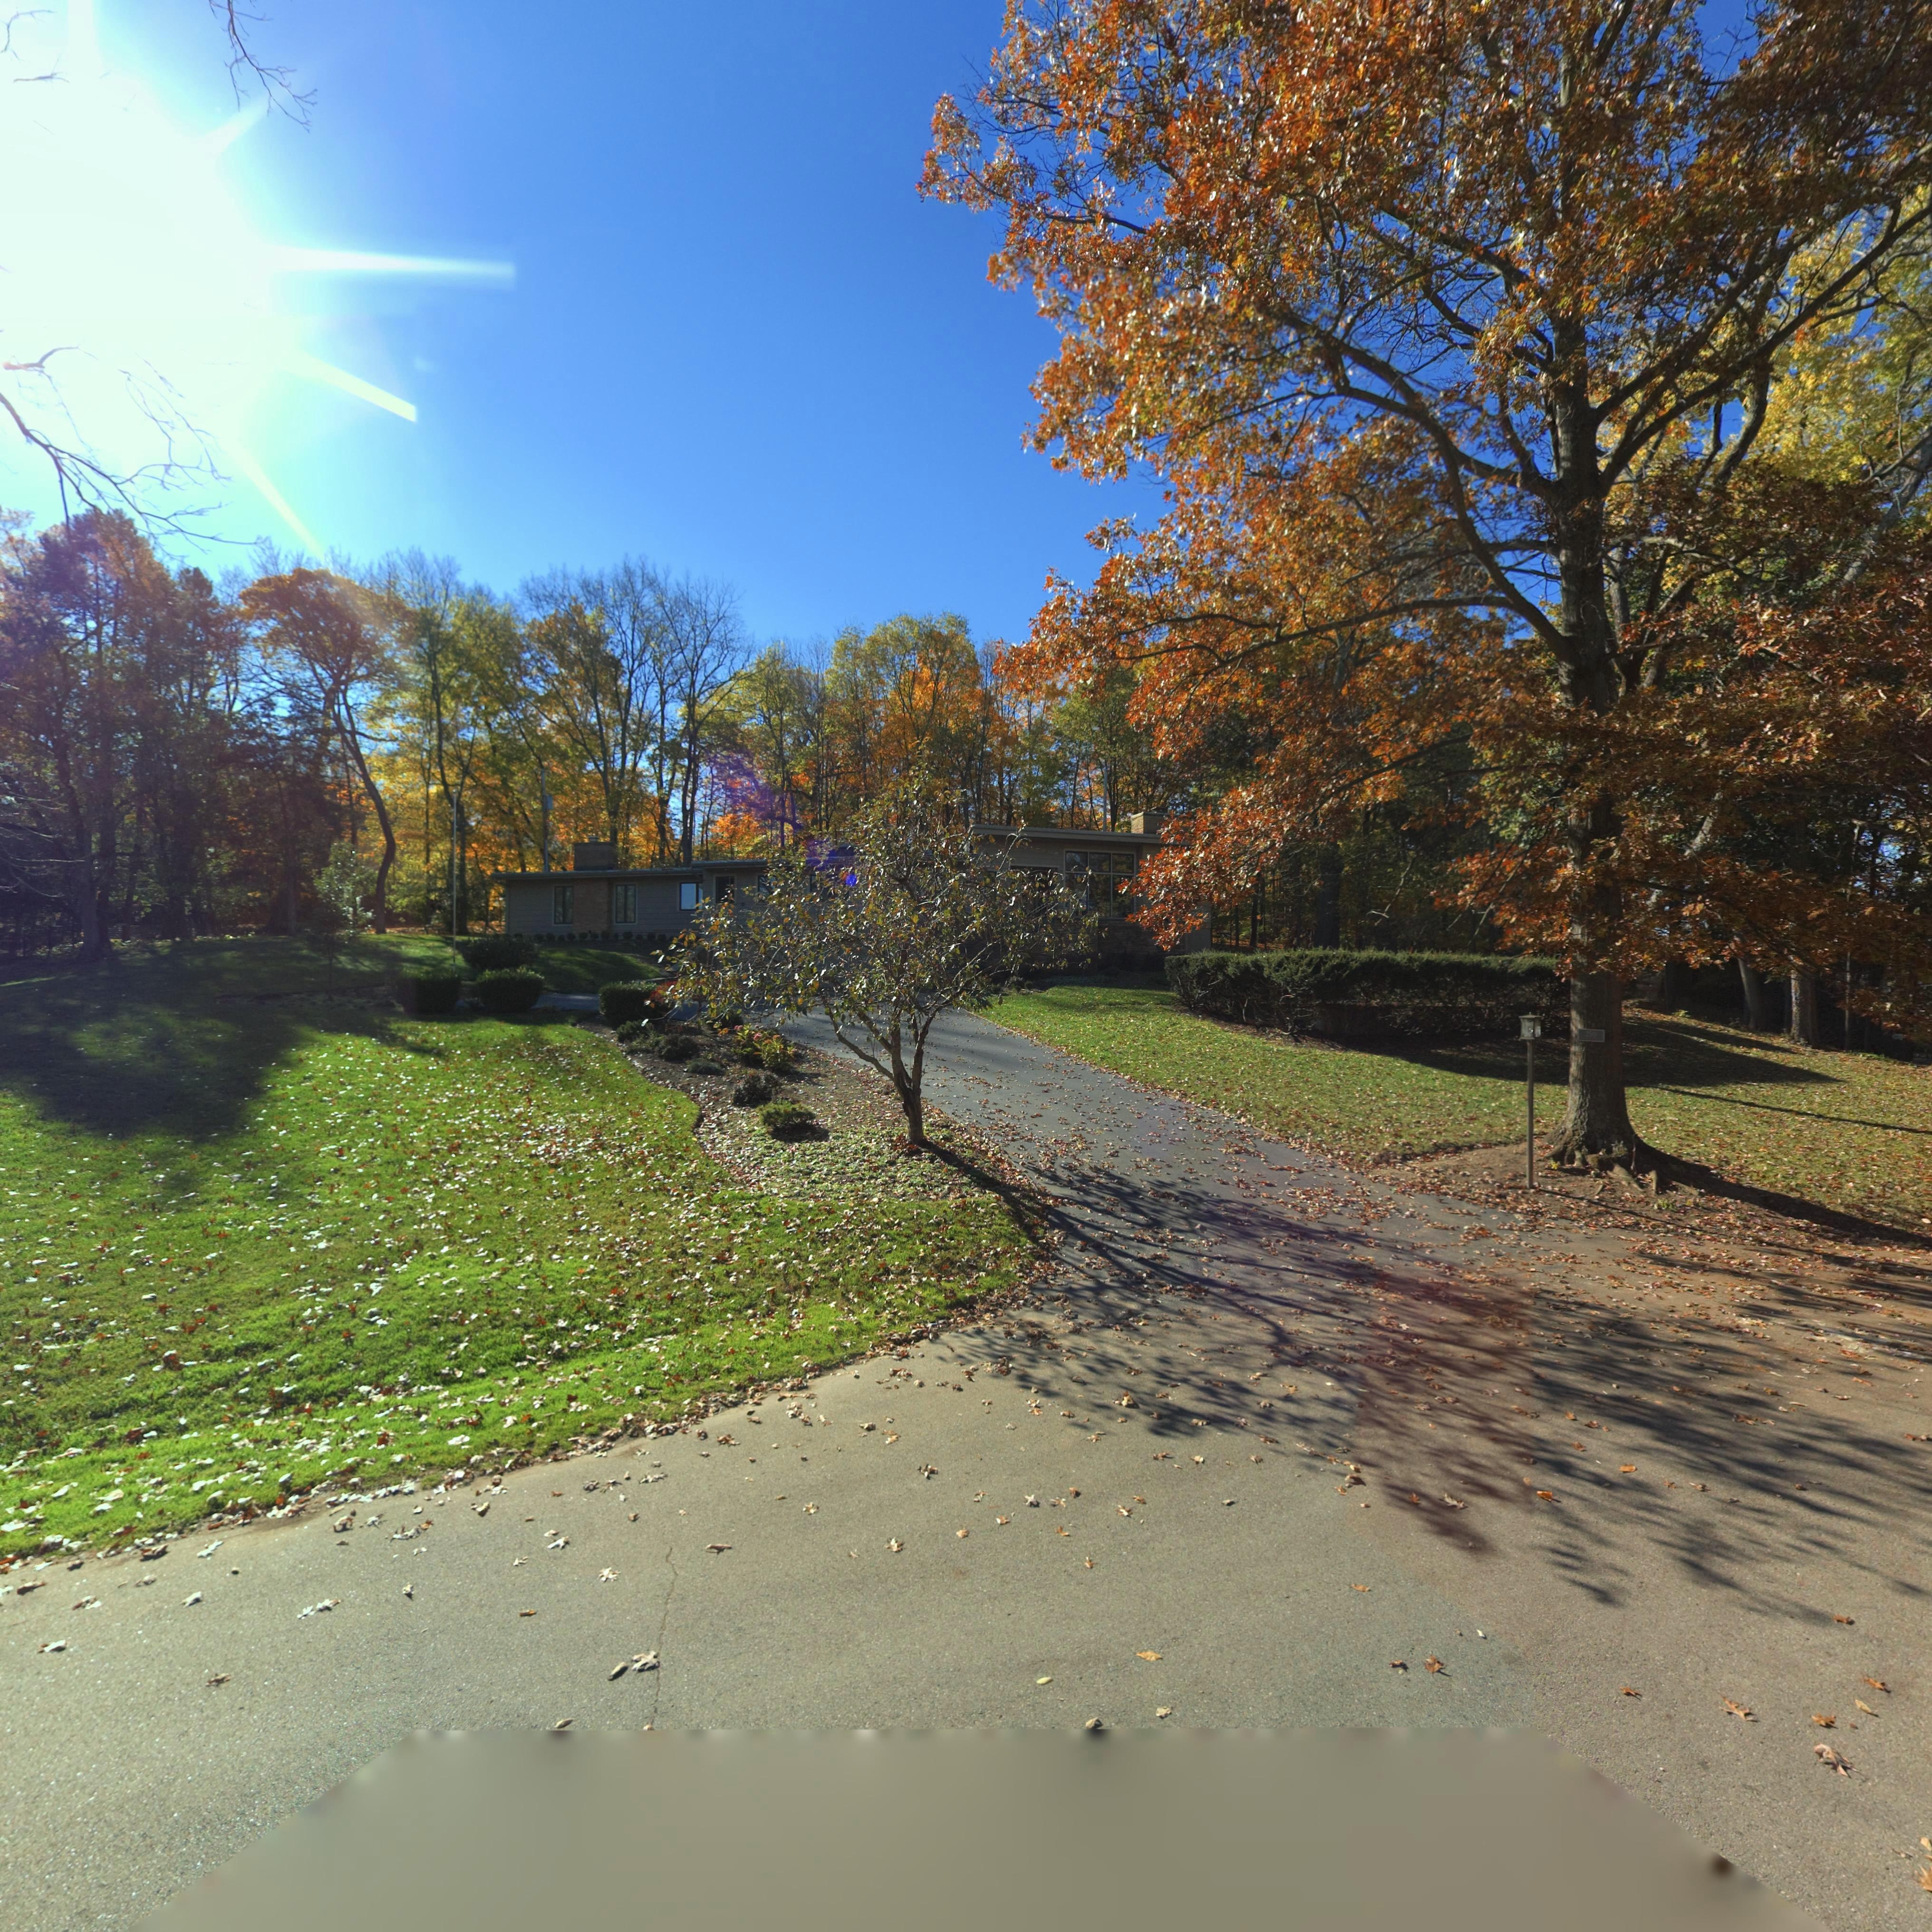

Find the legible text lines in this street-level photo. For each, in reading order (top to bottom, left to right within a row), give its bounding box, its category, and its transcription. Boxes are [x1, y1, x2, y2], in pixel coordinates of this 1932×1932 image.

[1584, 1030, 1598, 1038] StreetNumber: *50